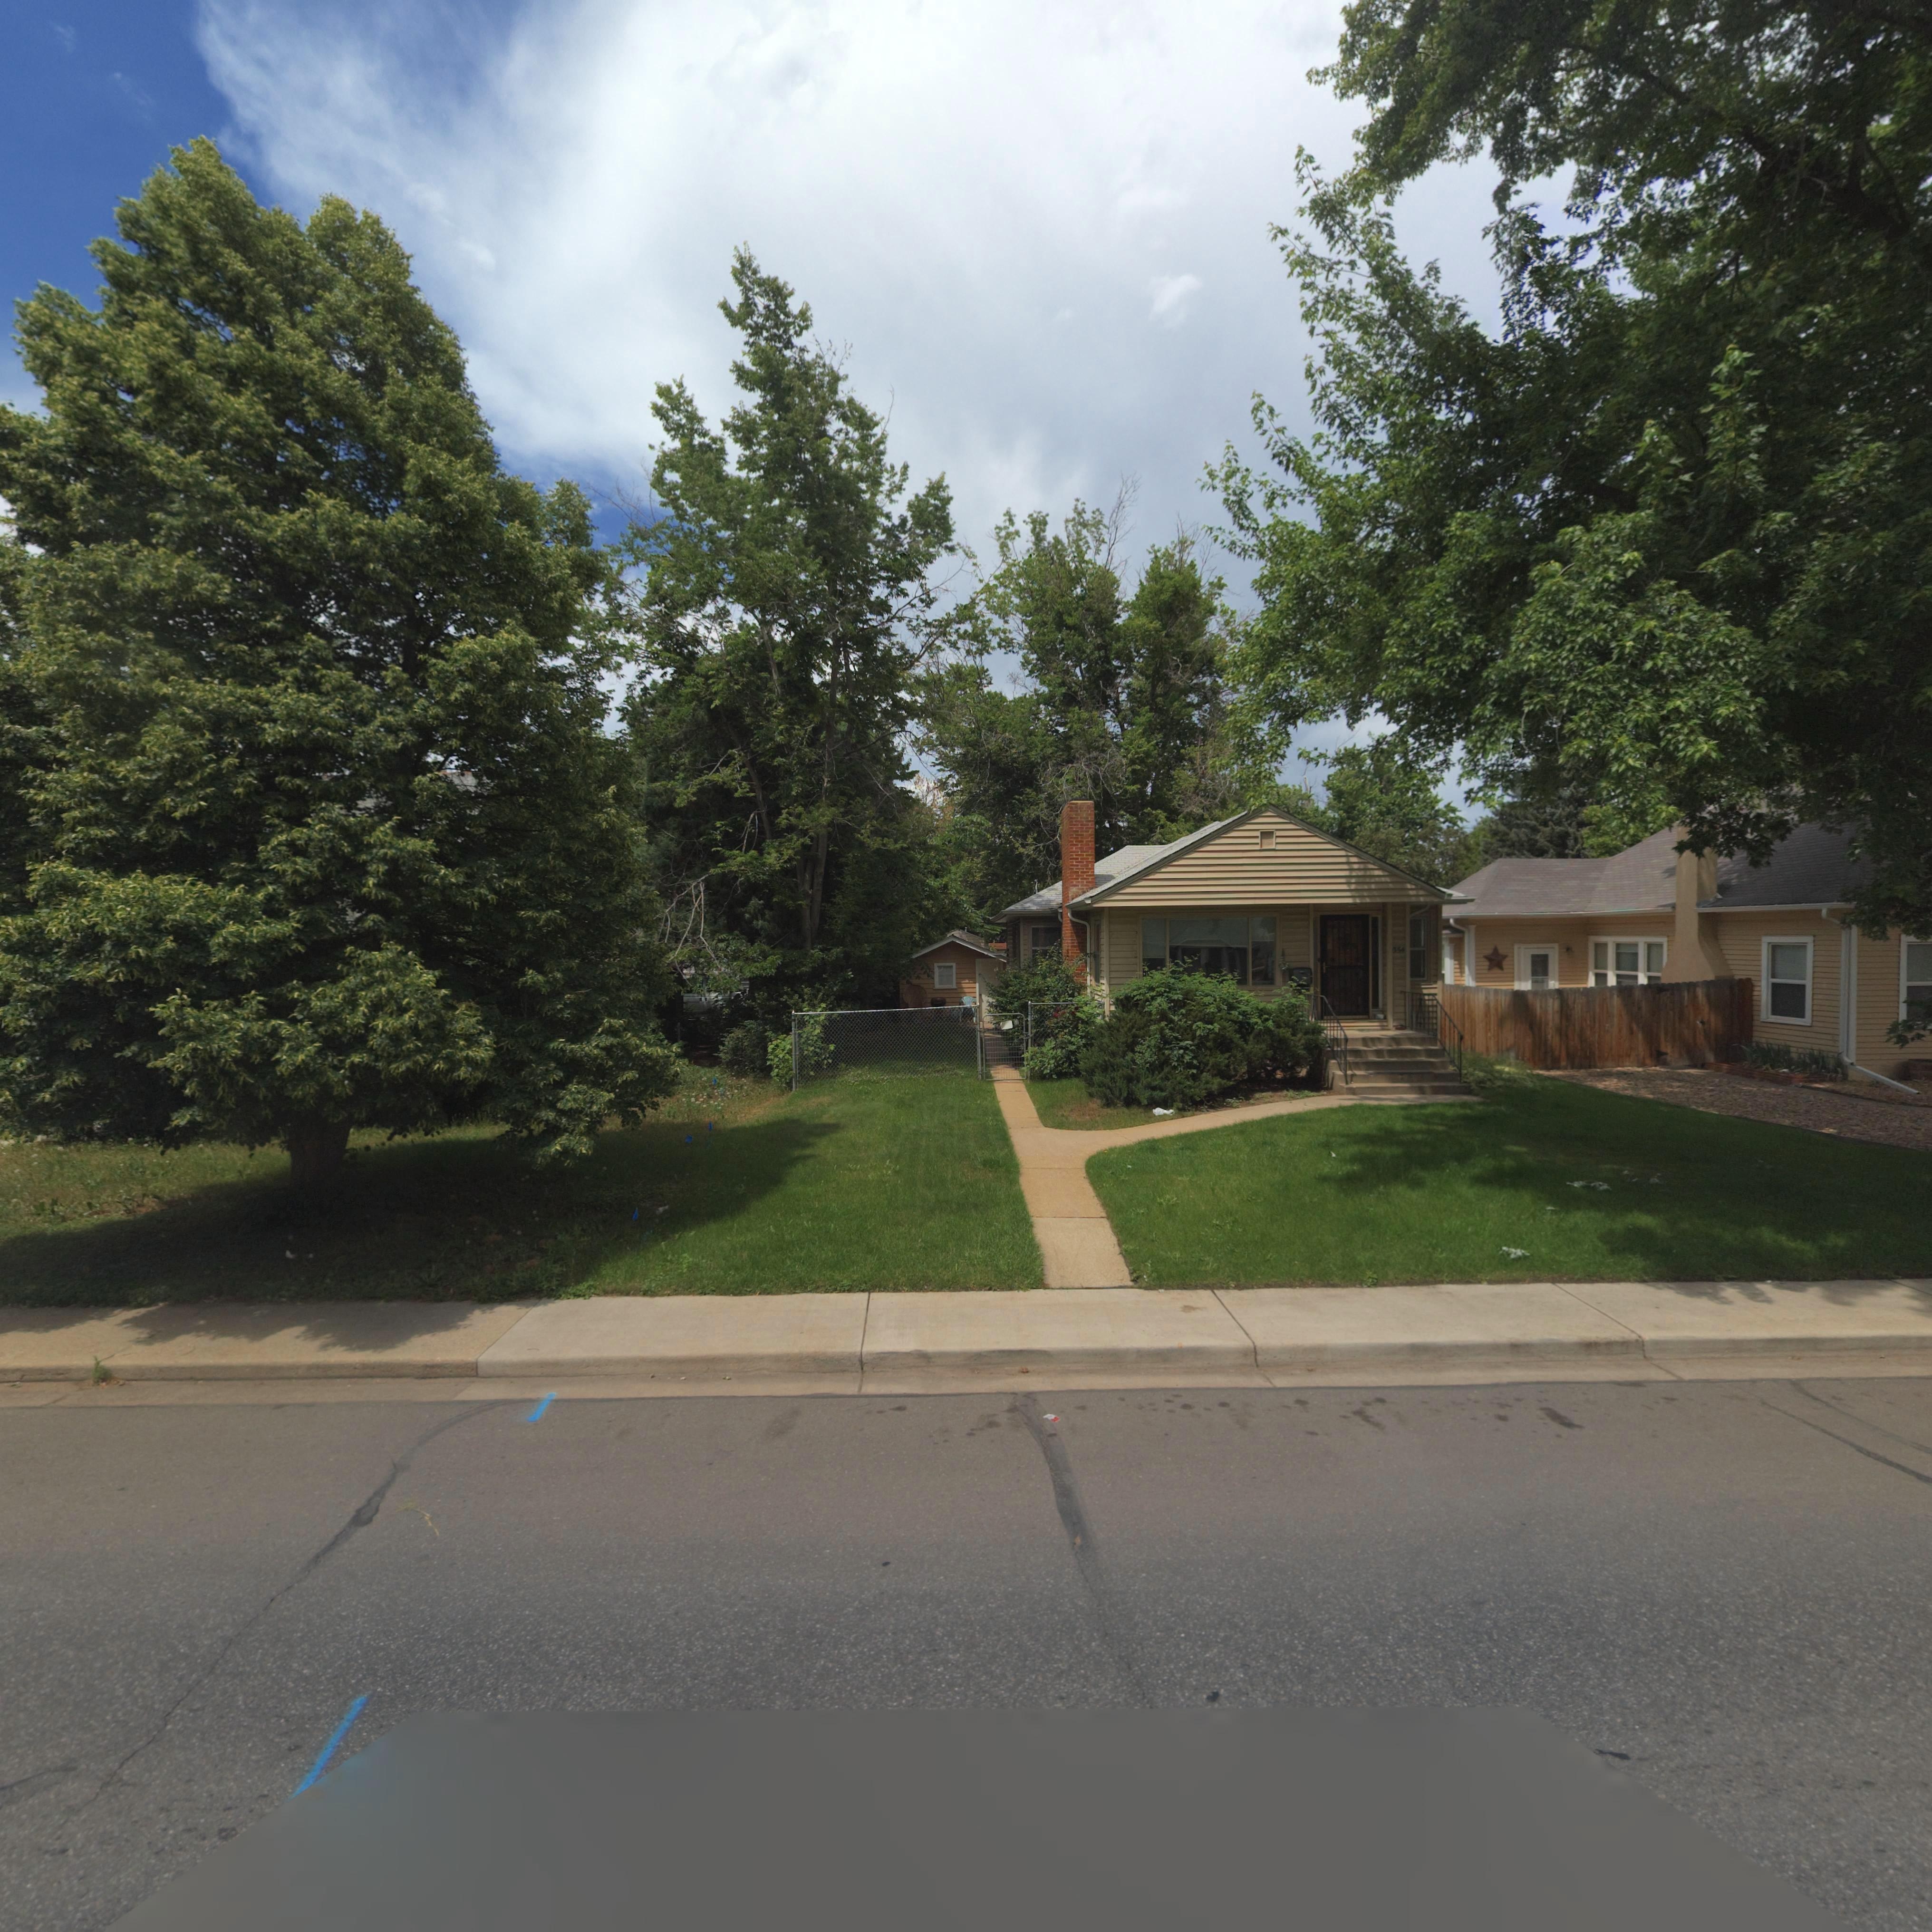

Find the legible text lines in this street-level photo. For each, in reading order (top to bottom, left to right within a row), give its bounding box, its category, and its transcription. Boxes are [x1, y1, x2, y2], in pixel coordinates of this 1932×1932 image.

[1392, 947, 1404, 954] StreetNumber: 354